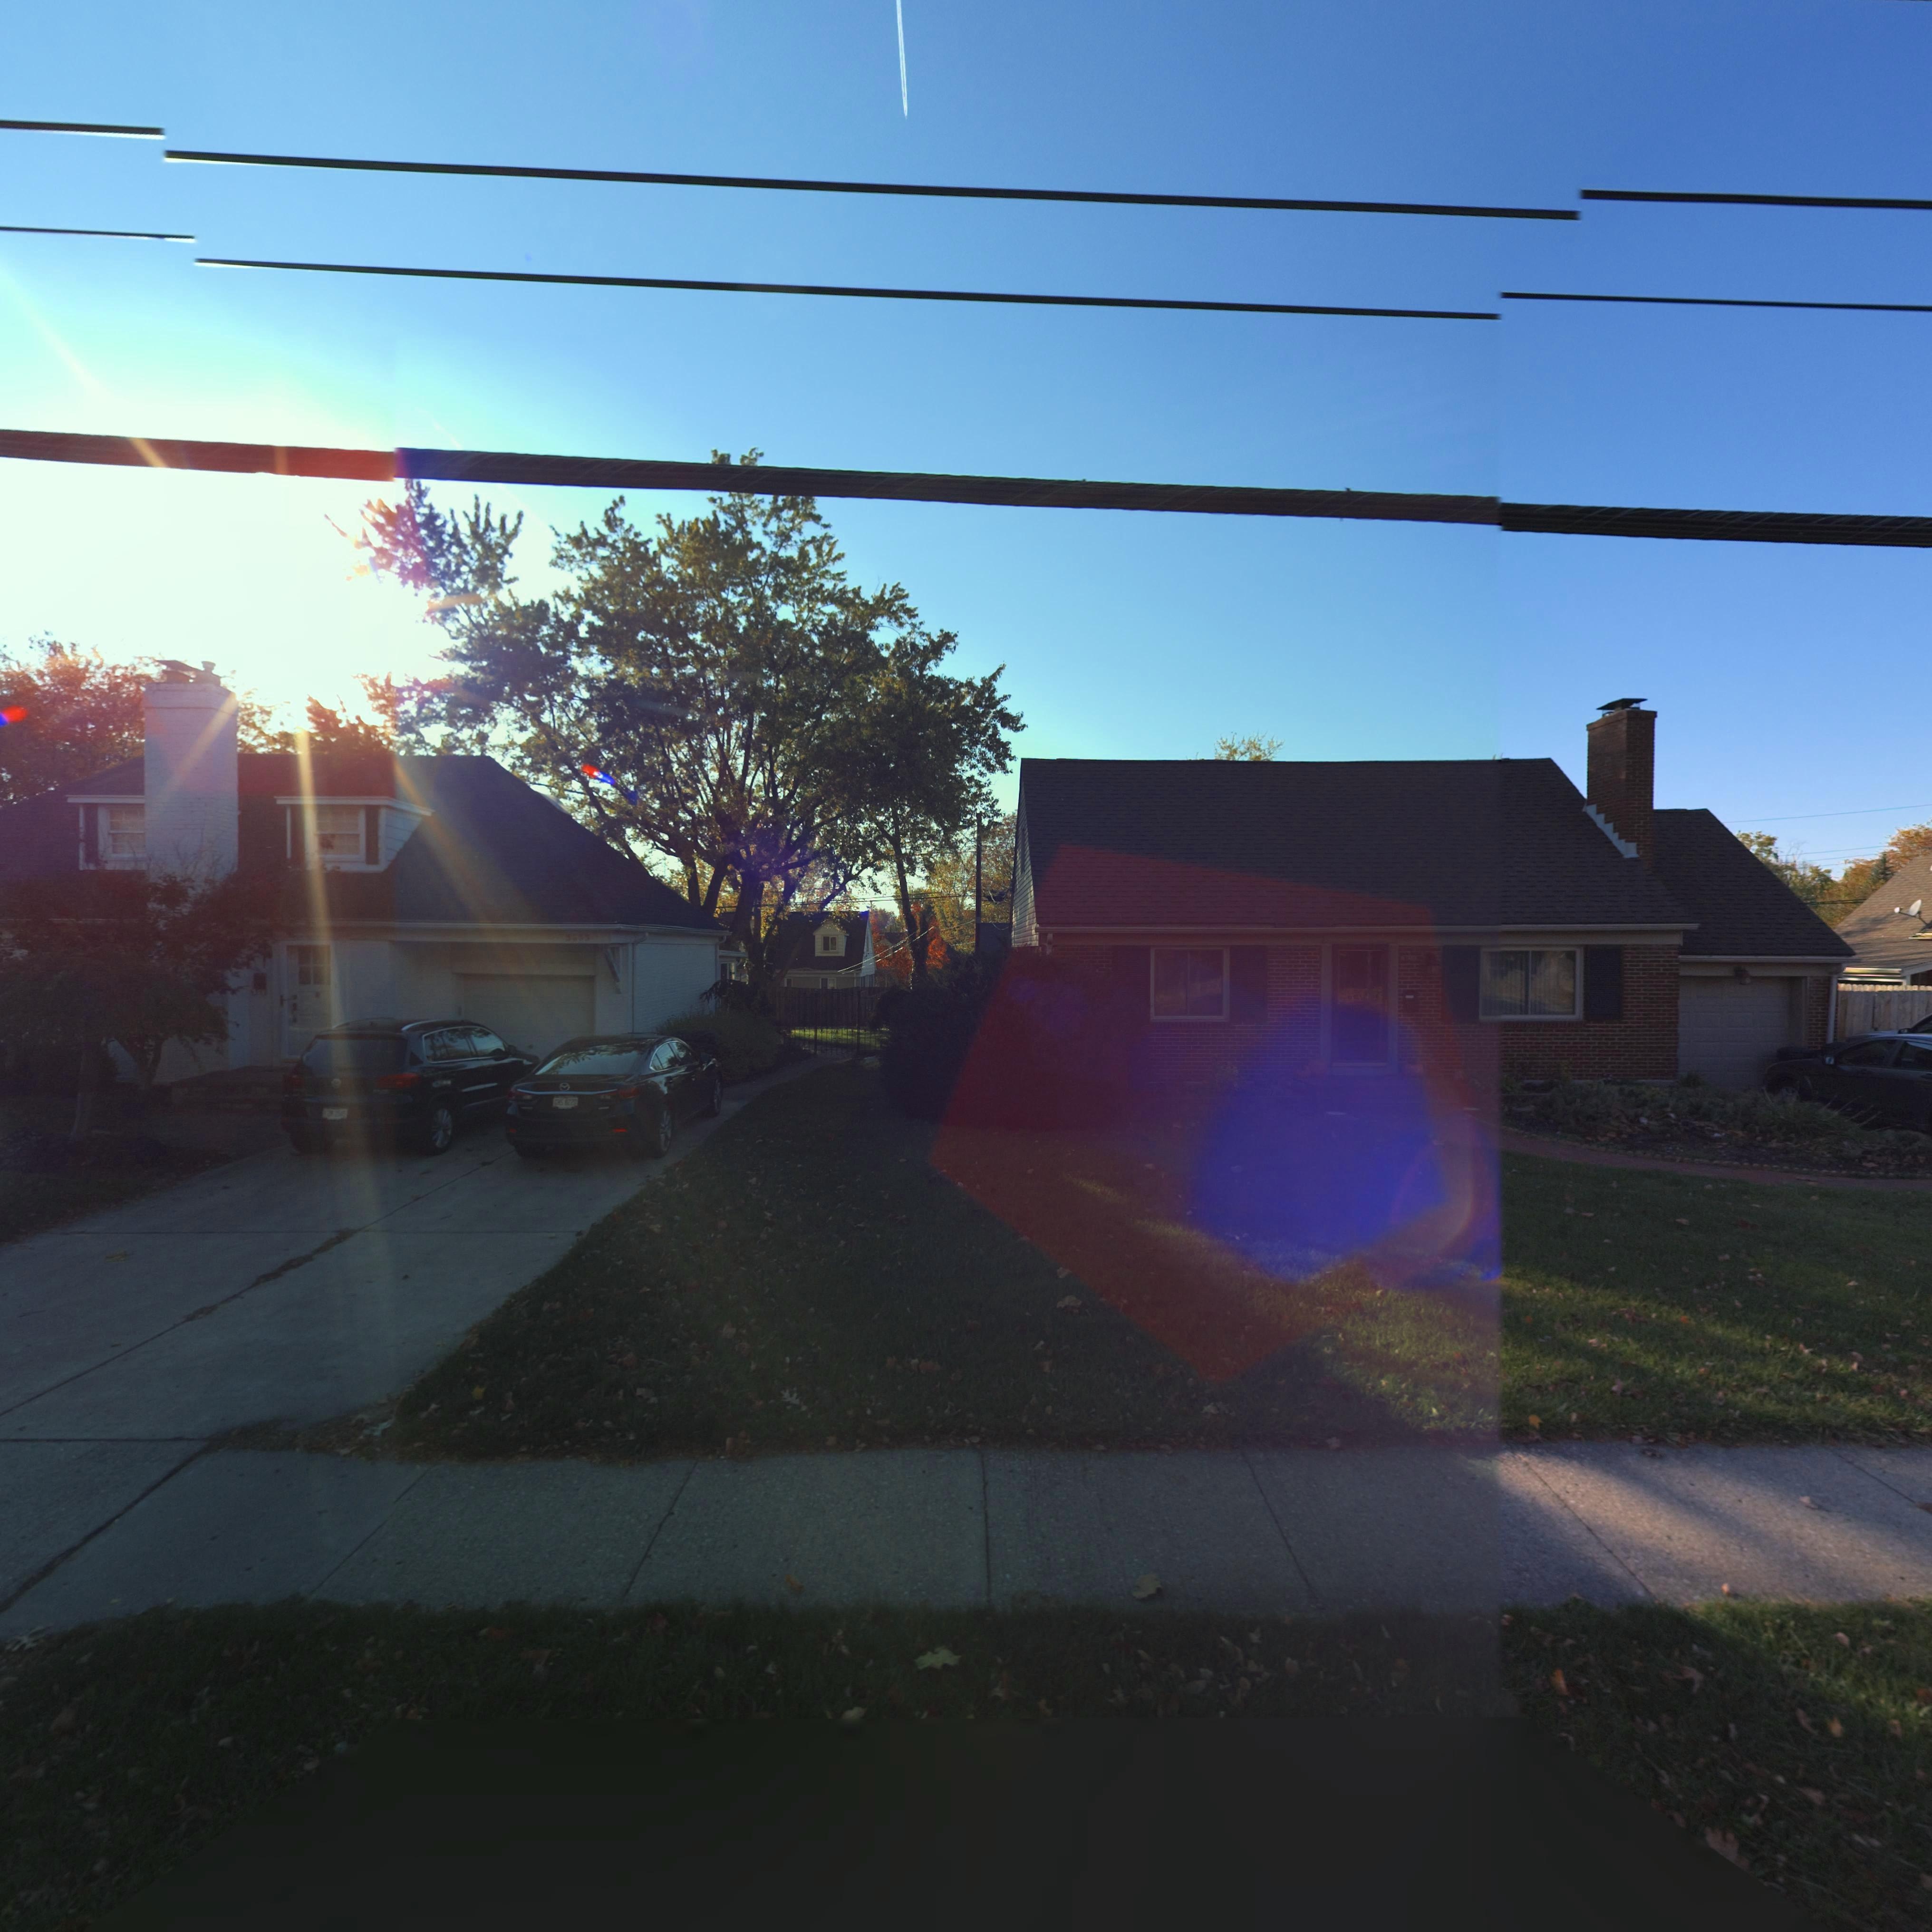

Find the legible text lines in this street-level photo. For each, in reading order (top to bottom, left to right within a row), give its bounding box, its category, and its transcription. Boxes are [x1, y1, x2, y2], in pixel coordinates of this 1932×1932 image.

[564, 932, 589, 941] StreetNumber: 3833